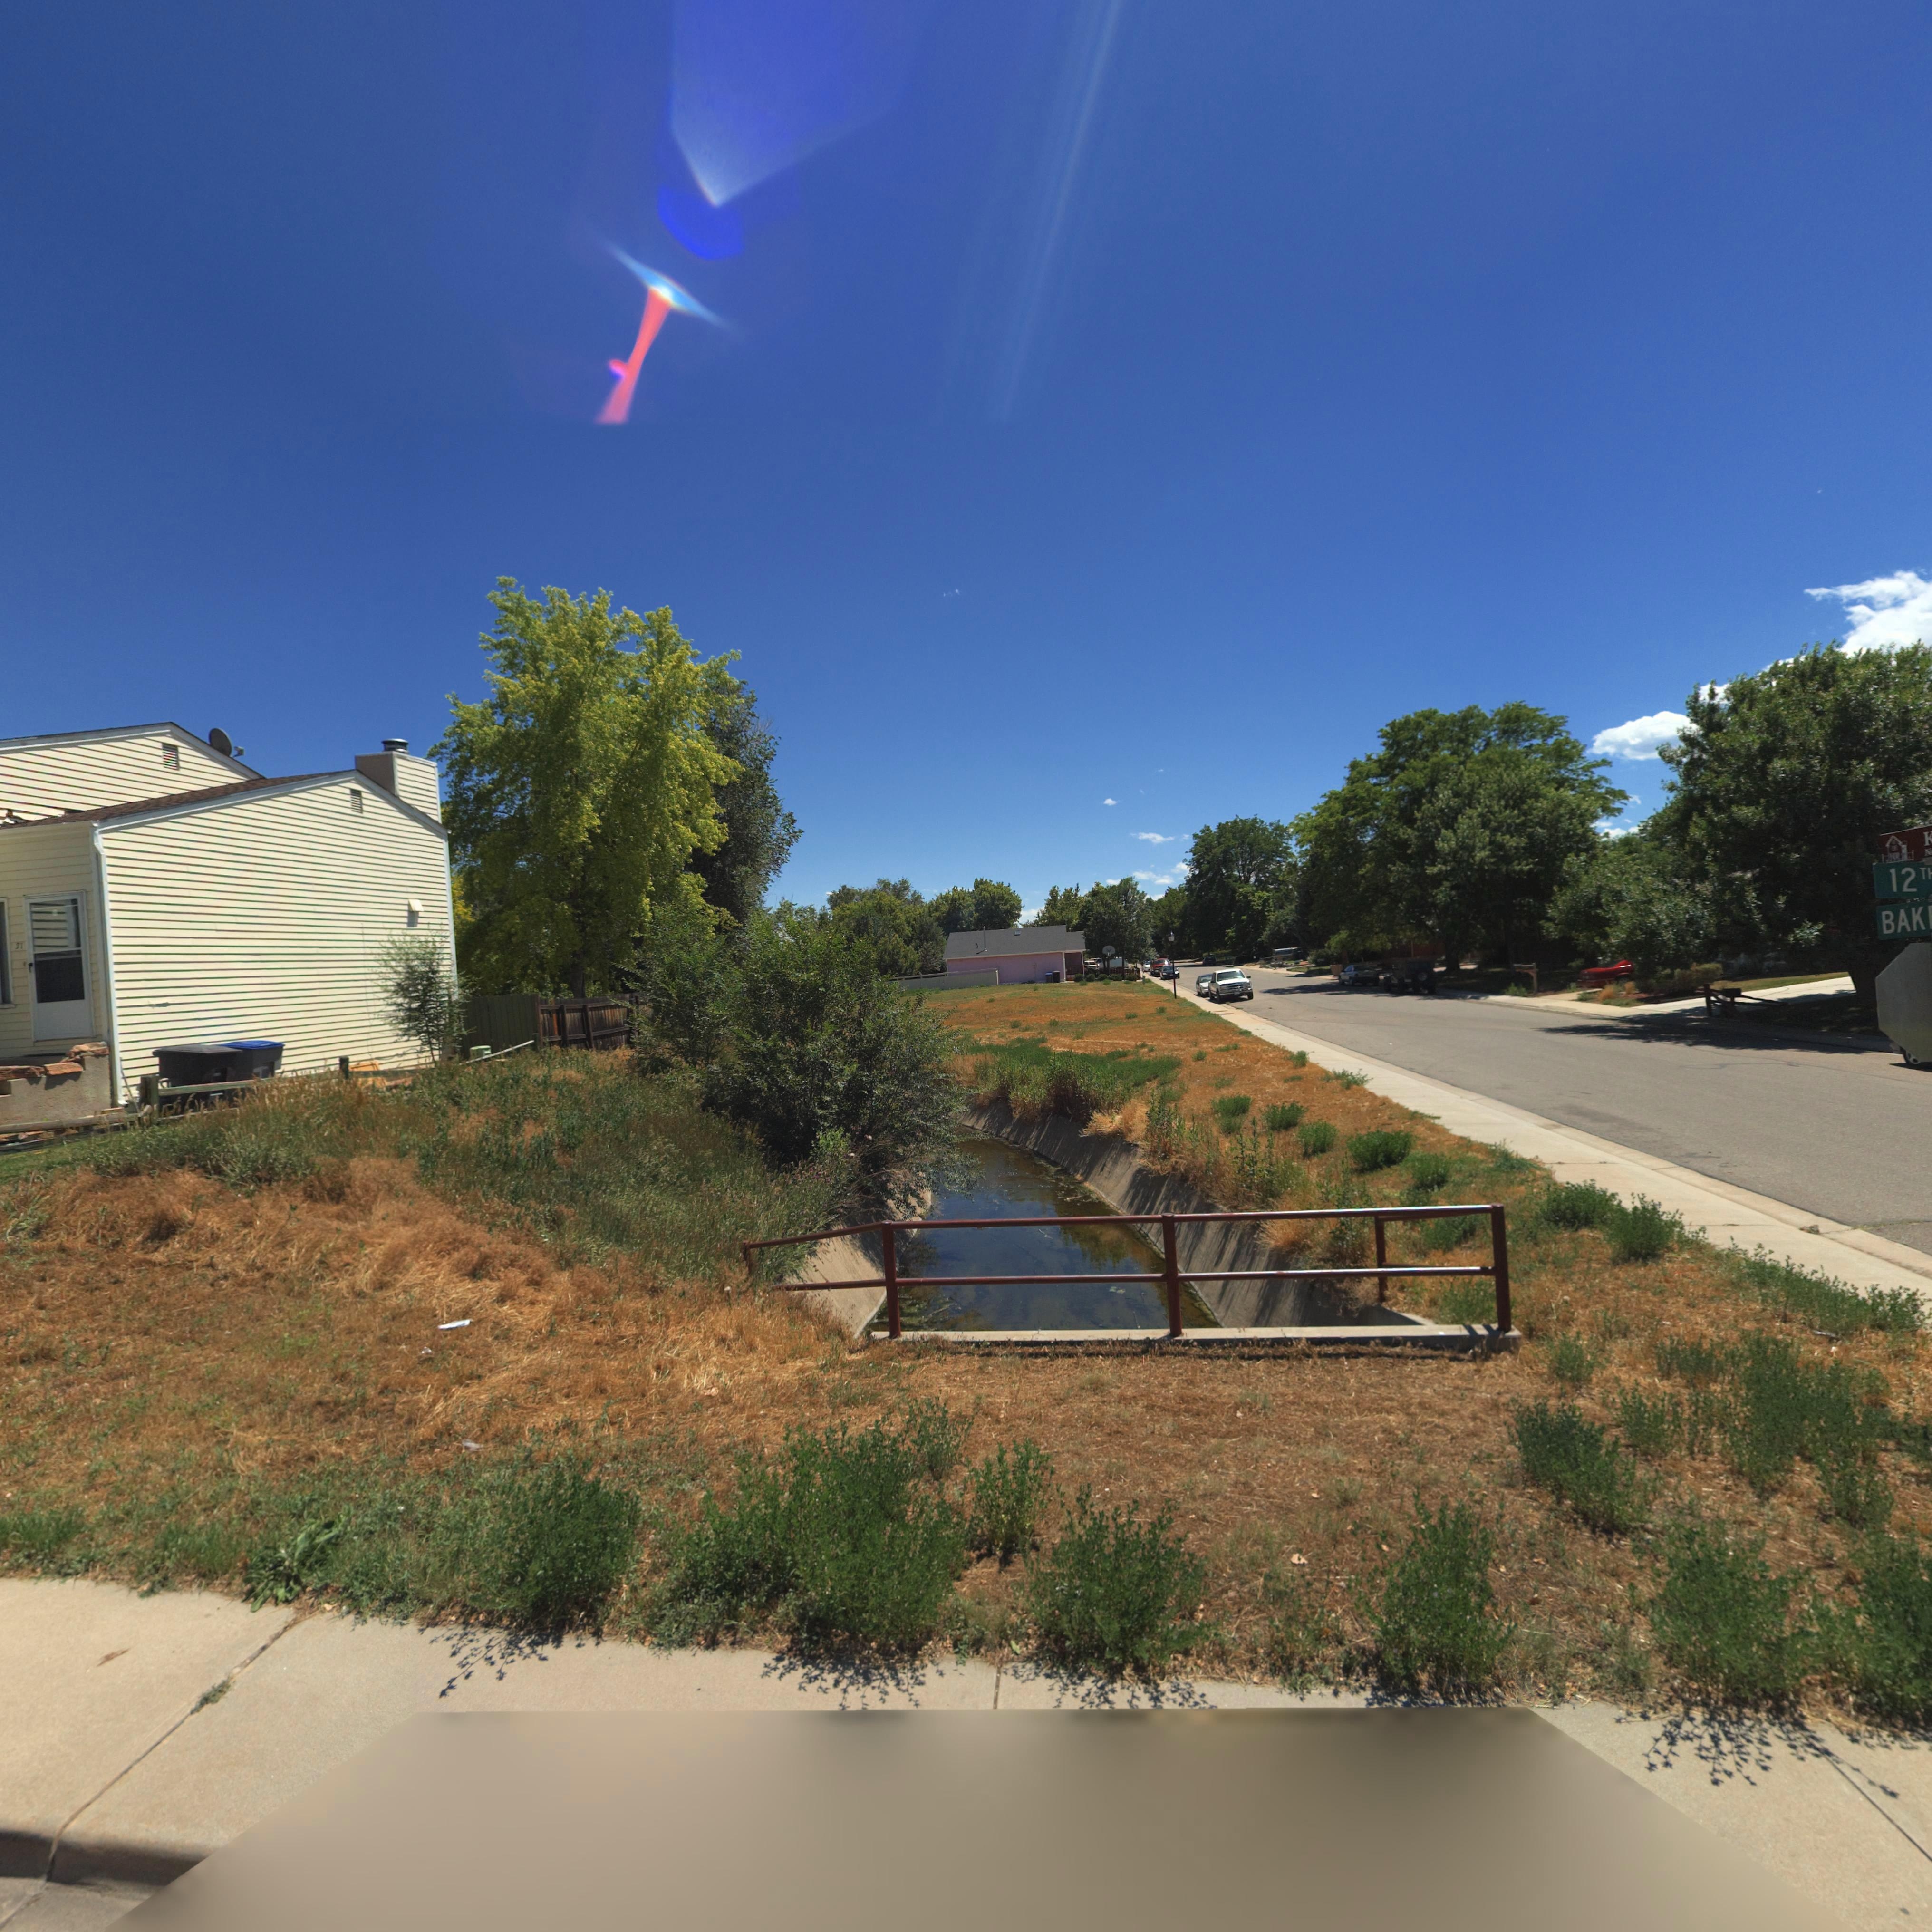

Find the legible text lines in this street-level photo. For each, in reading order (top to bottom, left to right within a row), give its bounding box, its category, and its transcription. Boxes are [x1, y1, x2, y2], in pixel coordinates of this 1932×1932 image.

[1889, 867, 1928, 893] StreetName: 12T
[1881, 905, 1927, 935] StreetName: BAK
[15, 942, 23, 949] StreetNumber: 37